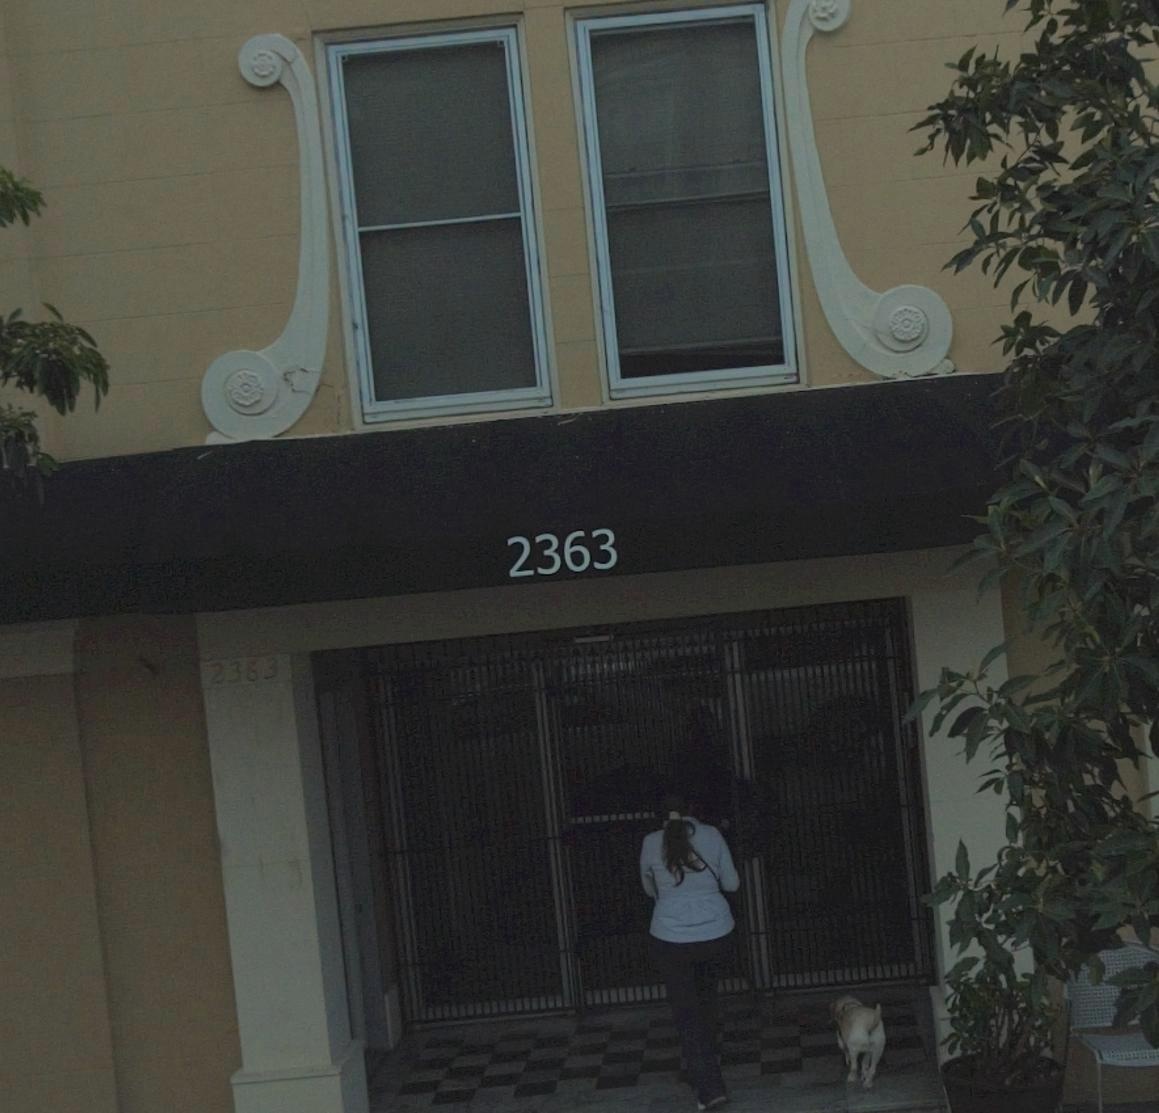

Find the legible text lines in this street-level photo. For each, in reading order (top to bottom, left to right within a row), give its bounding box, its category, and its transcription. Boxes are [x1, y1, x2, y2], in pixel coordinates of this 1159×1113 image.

[503, 523, 625, 584] StreetNumber: 2363
[205, 653, 283, 689] StreetNumber: 2363